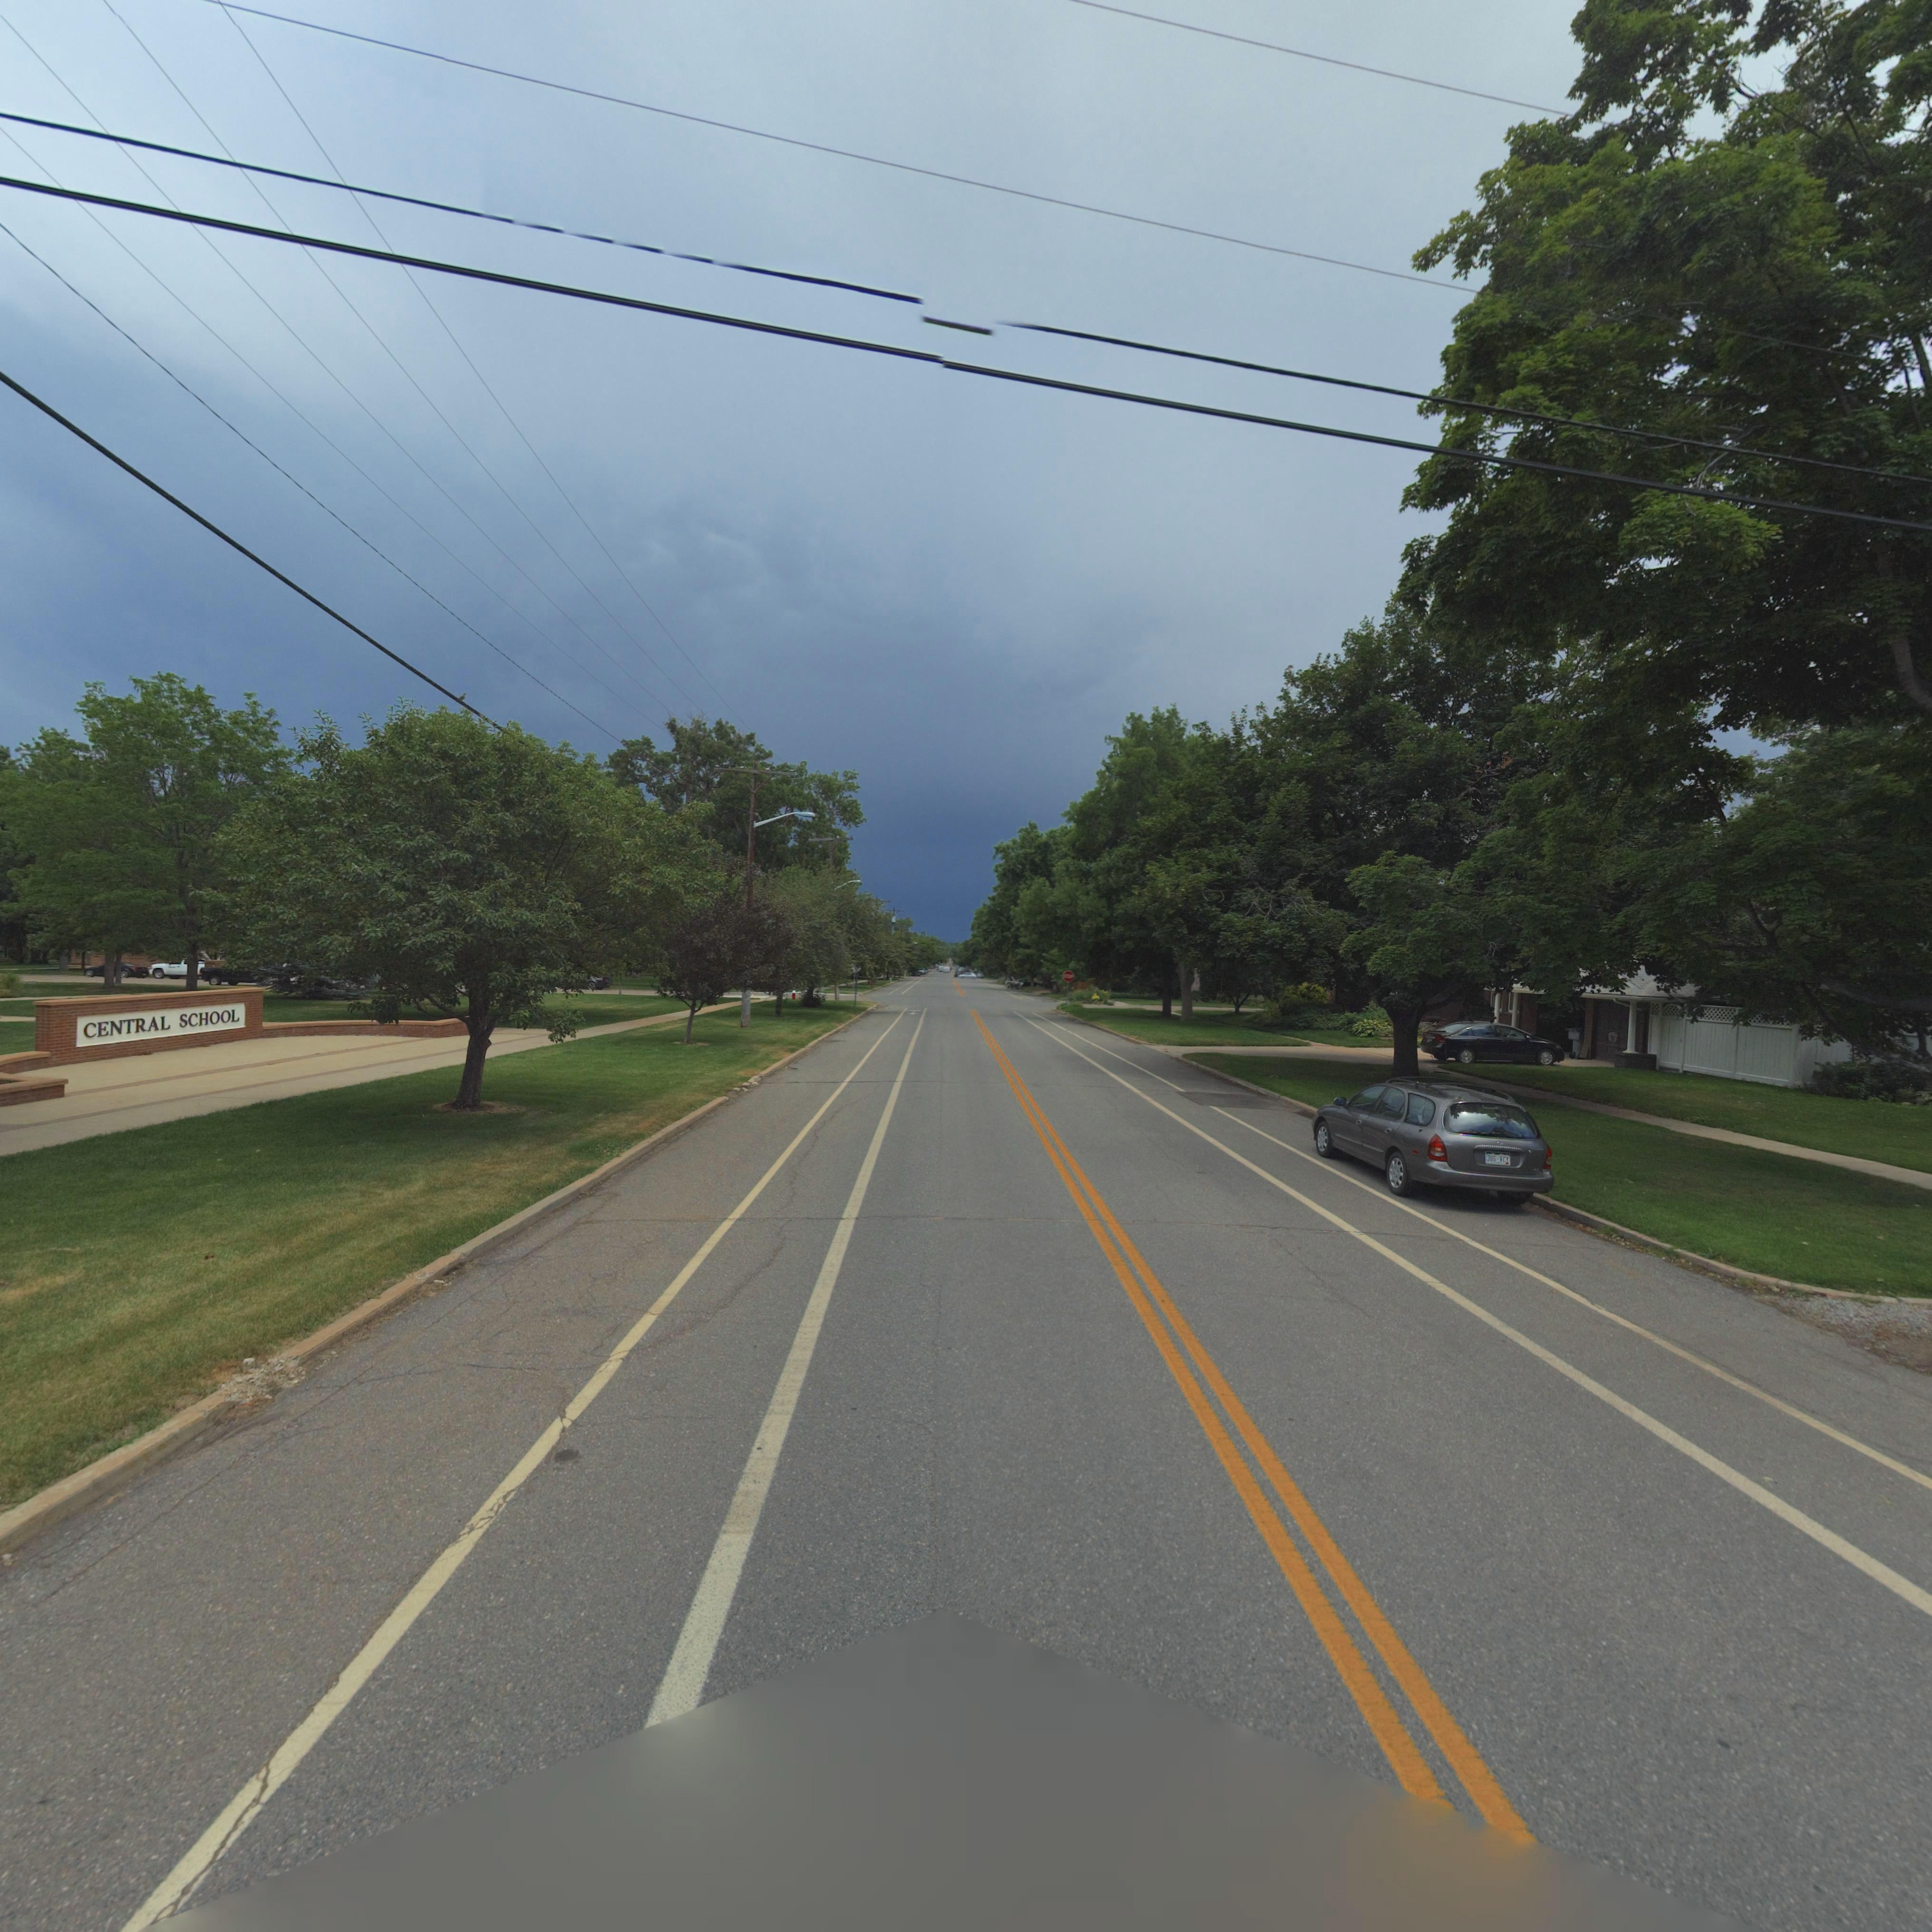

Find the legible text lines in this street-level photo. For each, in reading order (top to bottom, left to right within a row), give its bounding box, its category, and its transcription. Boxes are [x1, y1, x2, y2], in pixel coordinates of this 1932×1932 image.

[83, 1009, 240, 1039] BusinessName: CENTRAL SCHOOL